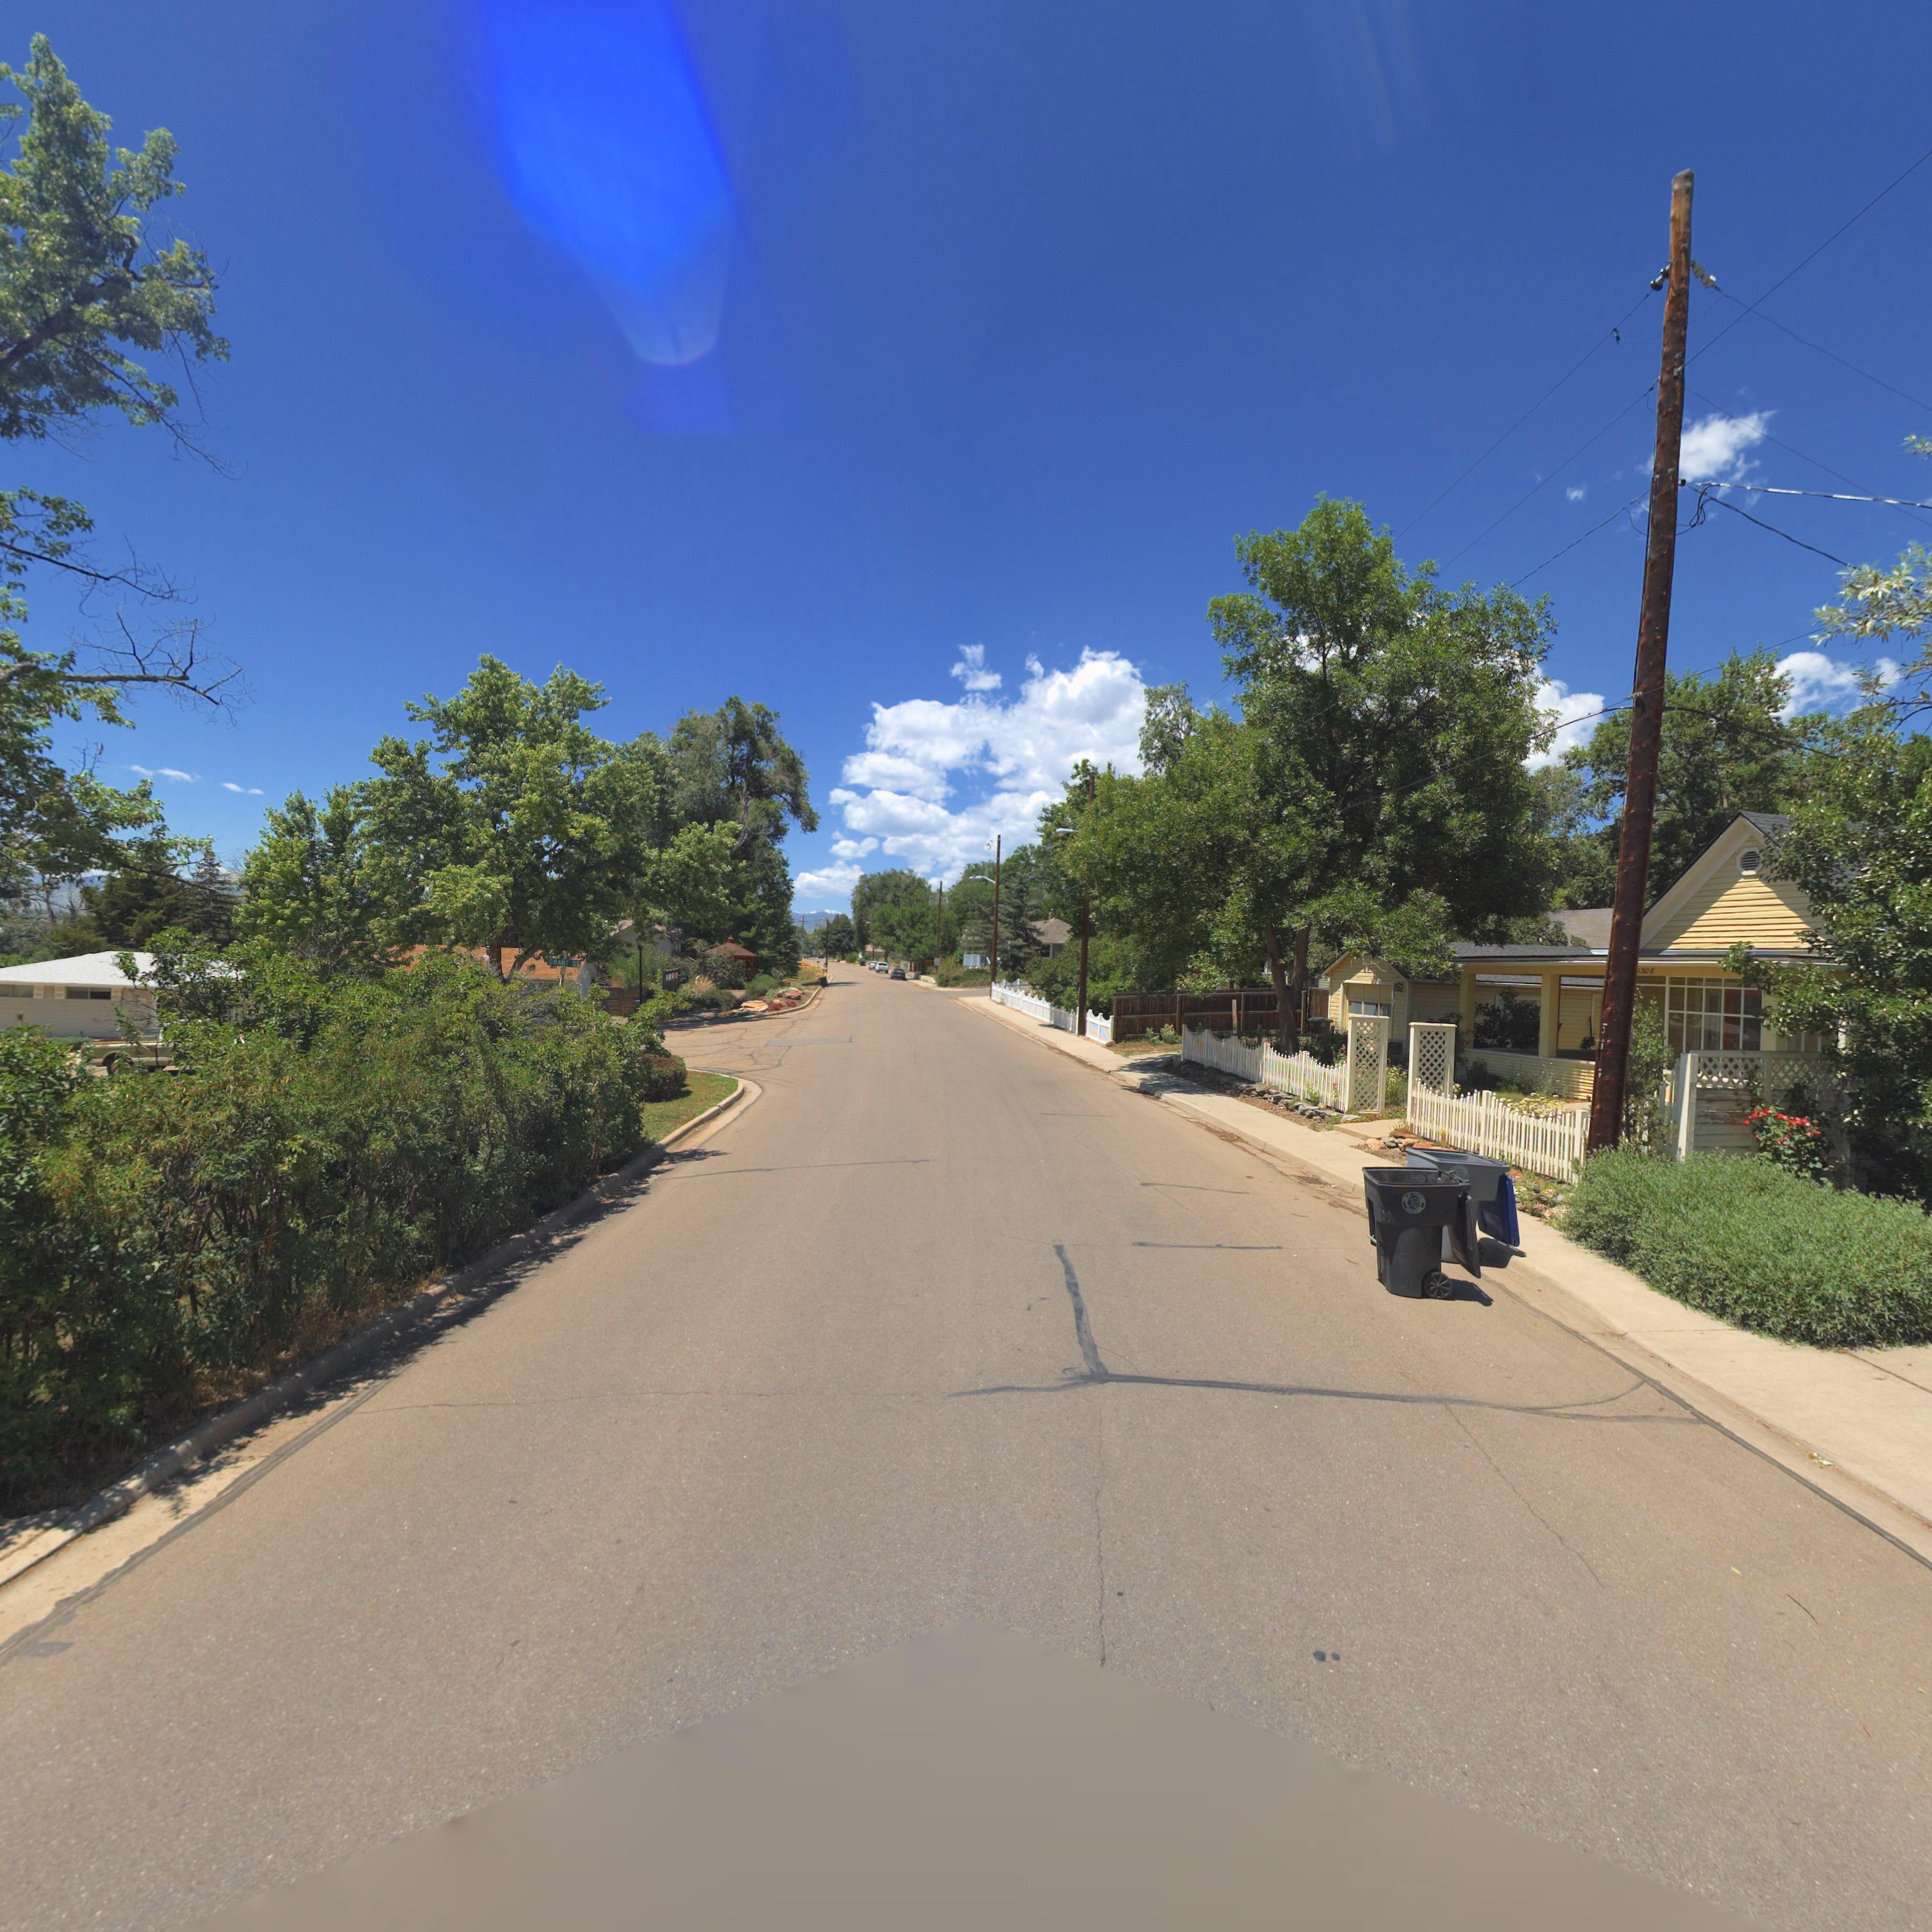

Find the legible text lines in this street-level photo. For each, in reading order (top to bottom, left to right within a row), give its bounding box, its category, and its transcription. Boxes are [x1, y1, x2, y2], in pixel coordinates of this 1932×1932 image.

[549, 958, 580, 966] StreetName: GRANT ST
[1636, 967, 1655, 974] StreetNumber: 1308